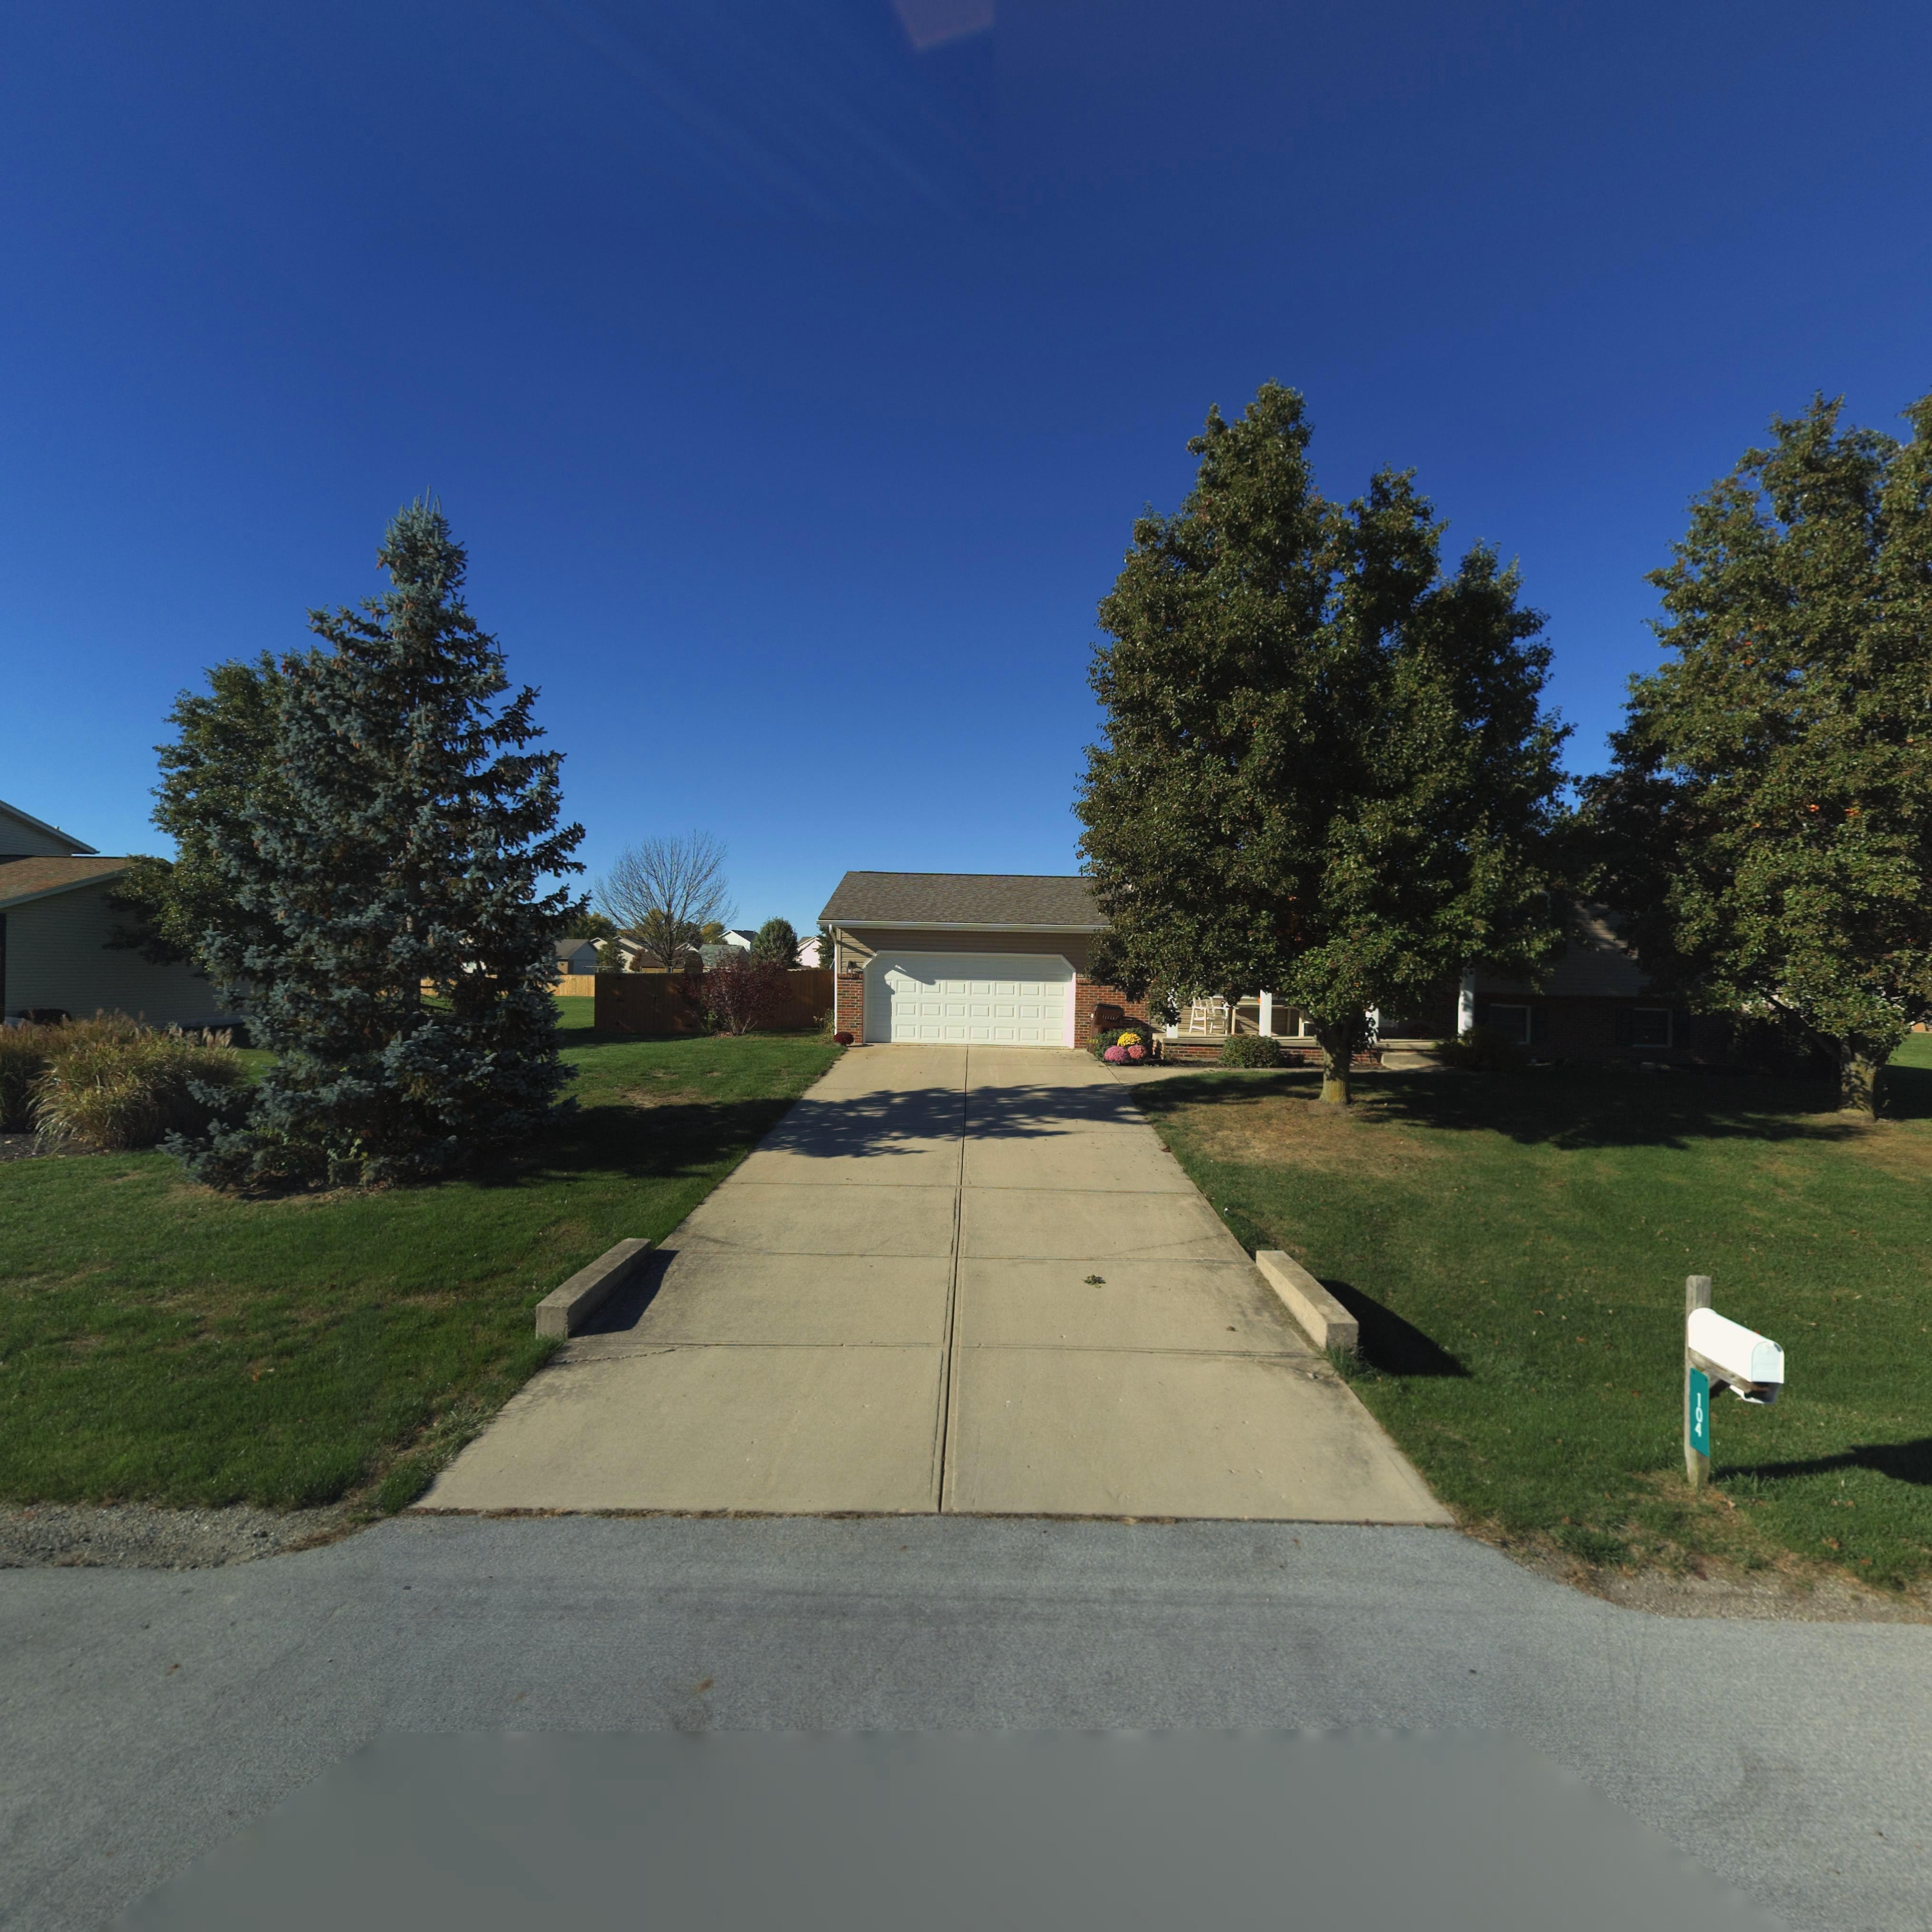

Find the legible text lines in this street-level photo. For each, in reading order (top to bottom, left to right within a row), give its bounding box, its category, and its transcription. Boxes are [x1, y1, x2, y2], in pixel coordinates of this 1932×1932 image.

[1694, 1391, 1704, 1439] StreetNumber: 104